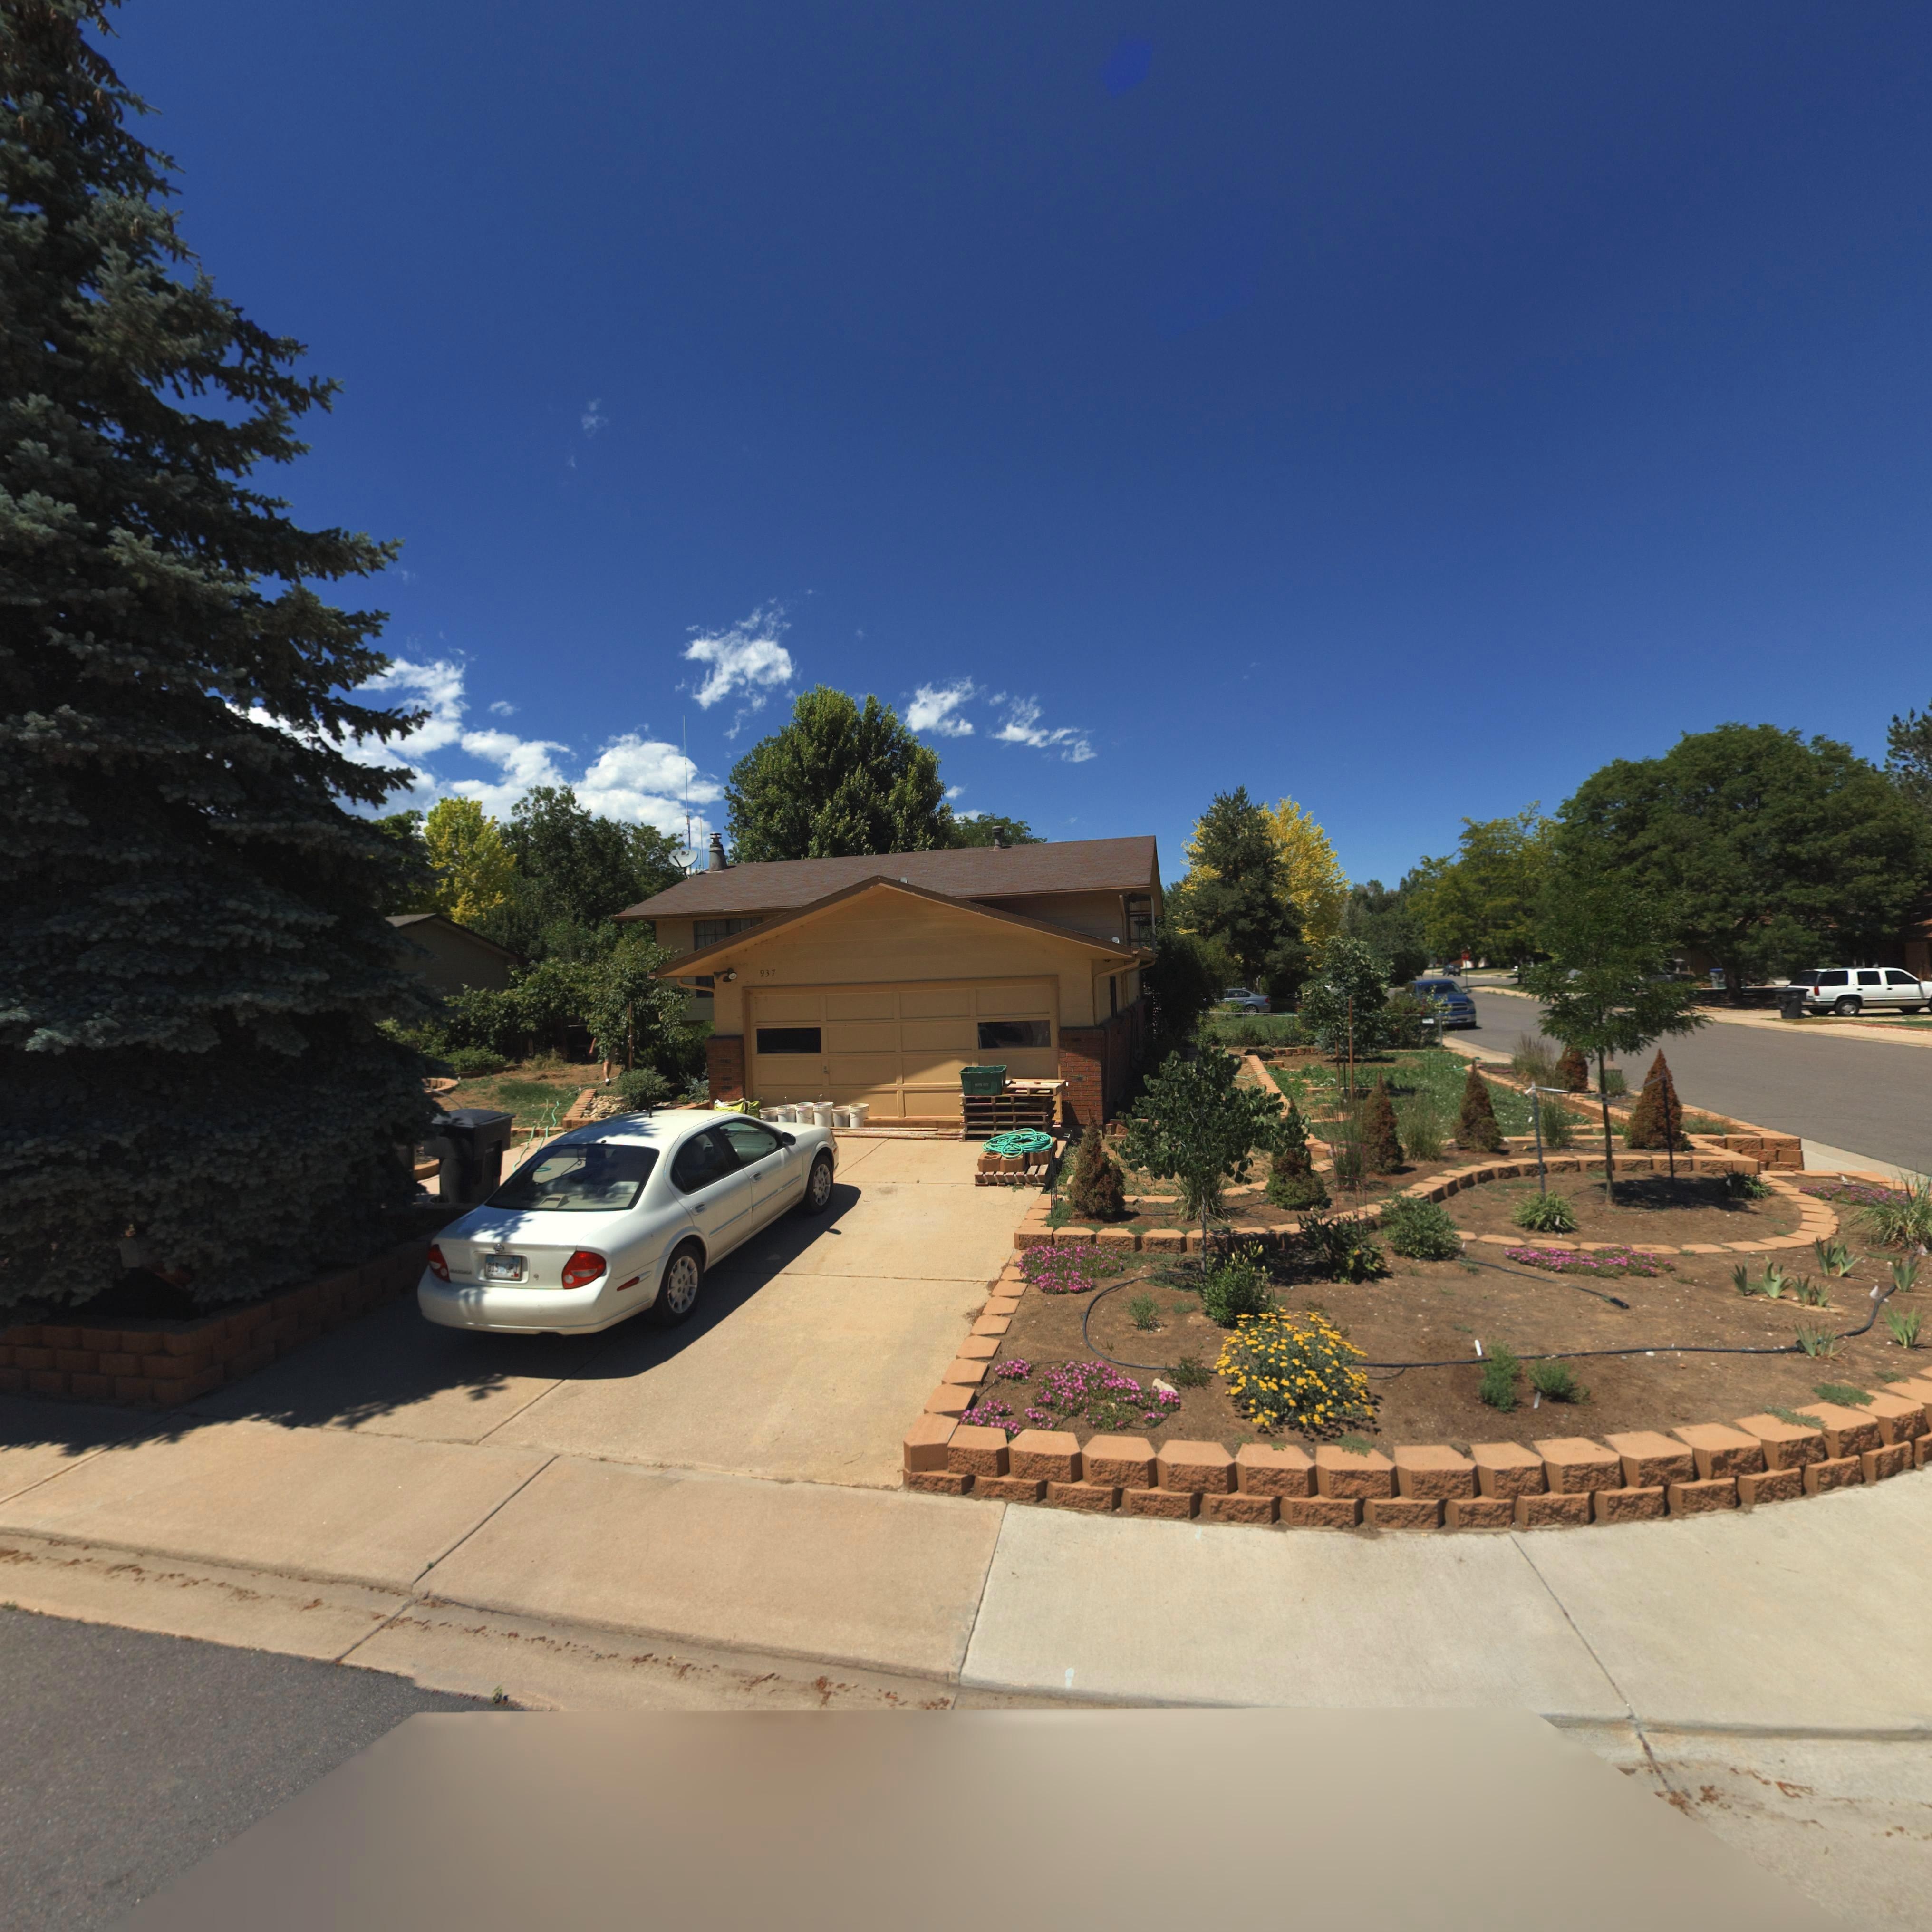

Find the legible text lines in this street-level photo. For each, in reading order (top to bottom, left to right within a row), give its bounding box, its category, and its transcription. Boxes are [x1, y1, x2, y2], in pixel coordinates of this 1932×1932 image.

[760, 969, 775, 977] StreetNumber: 937